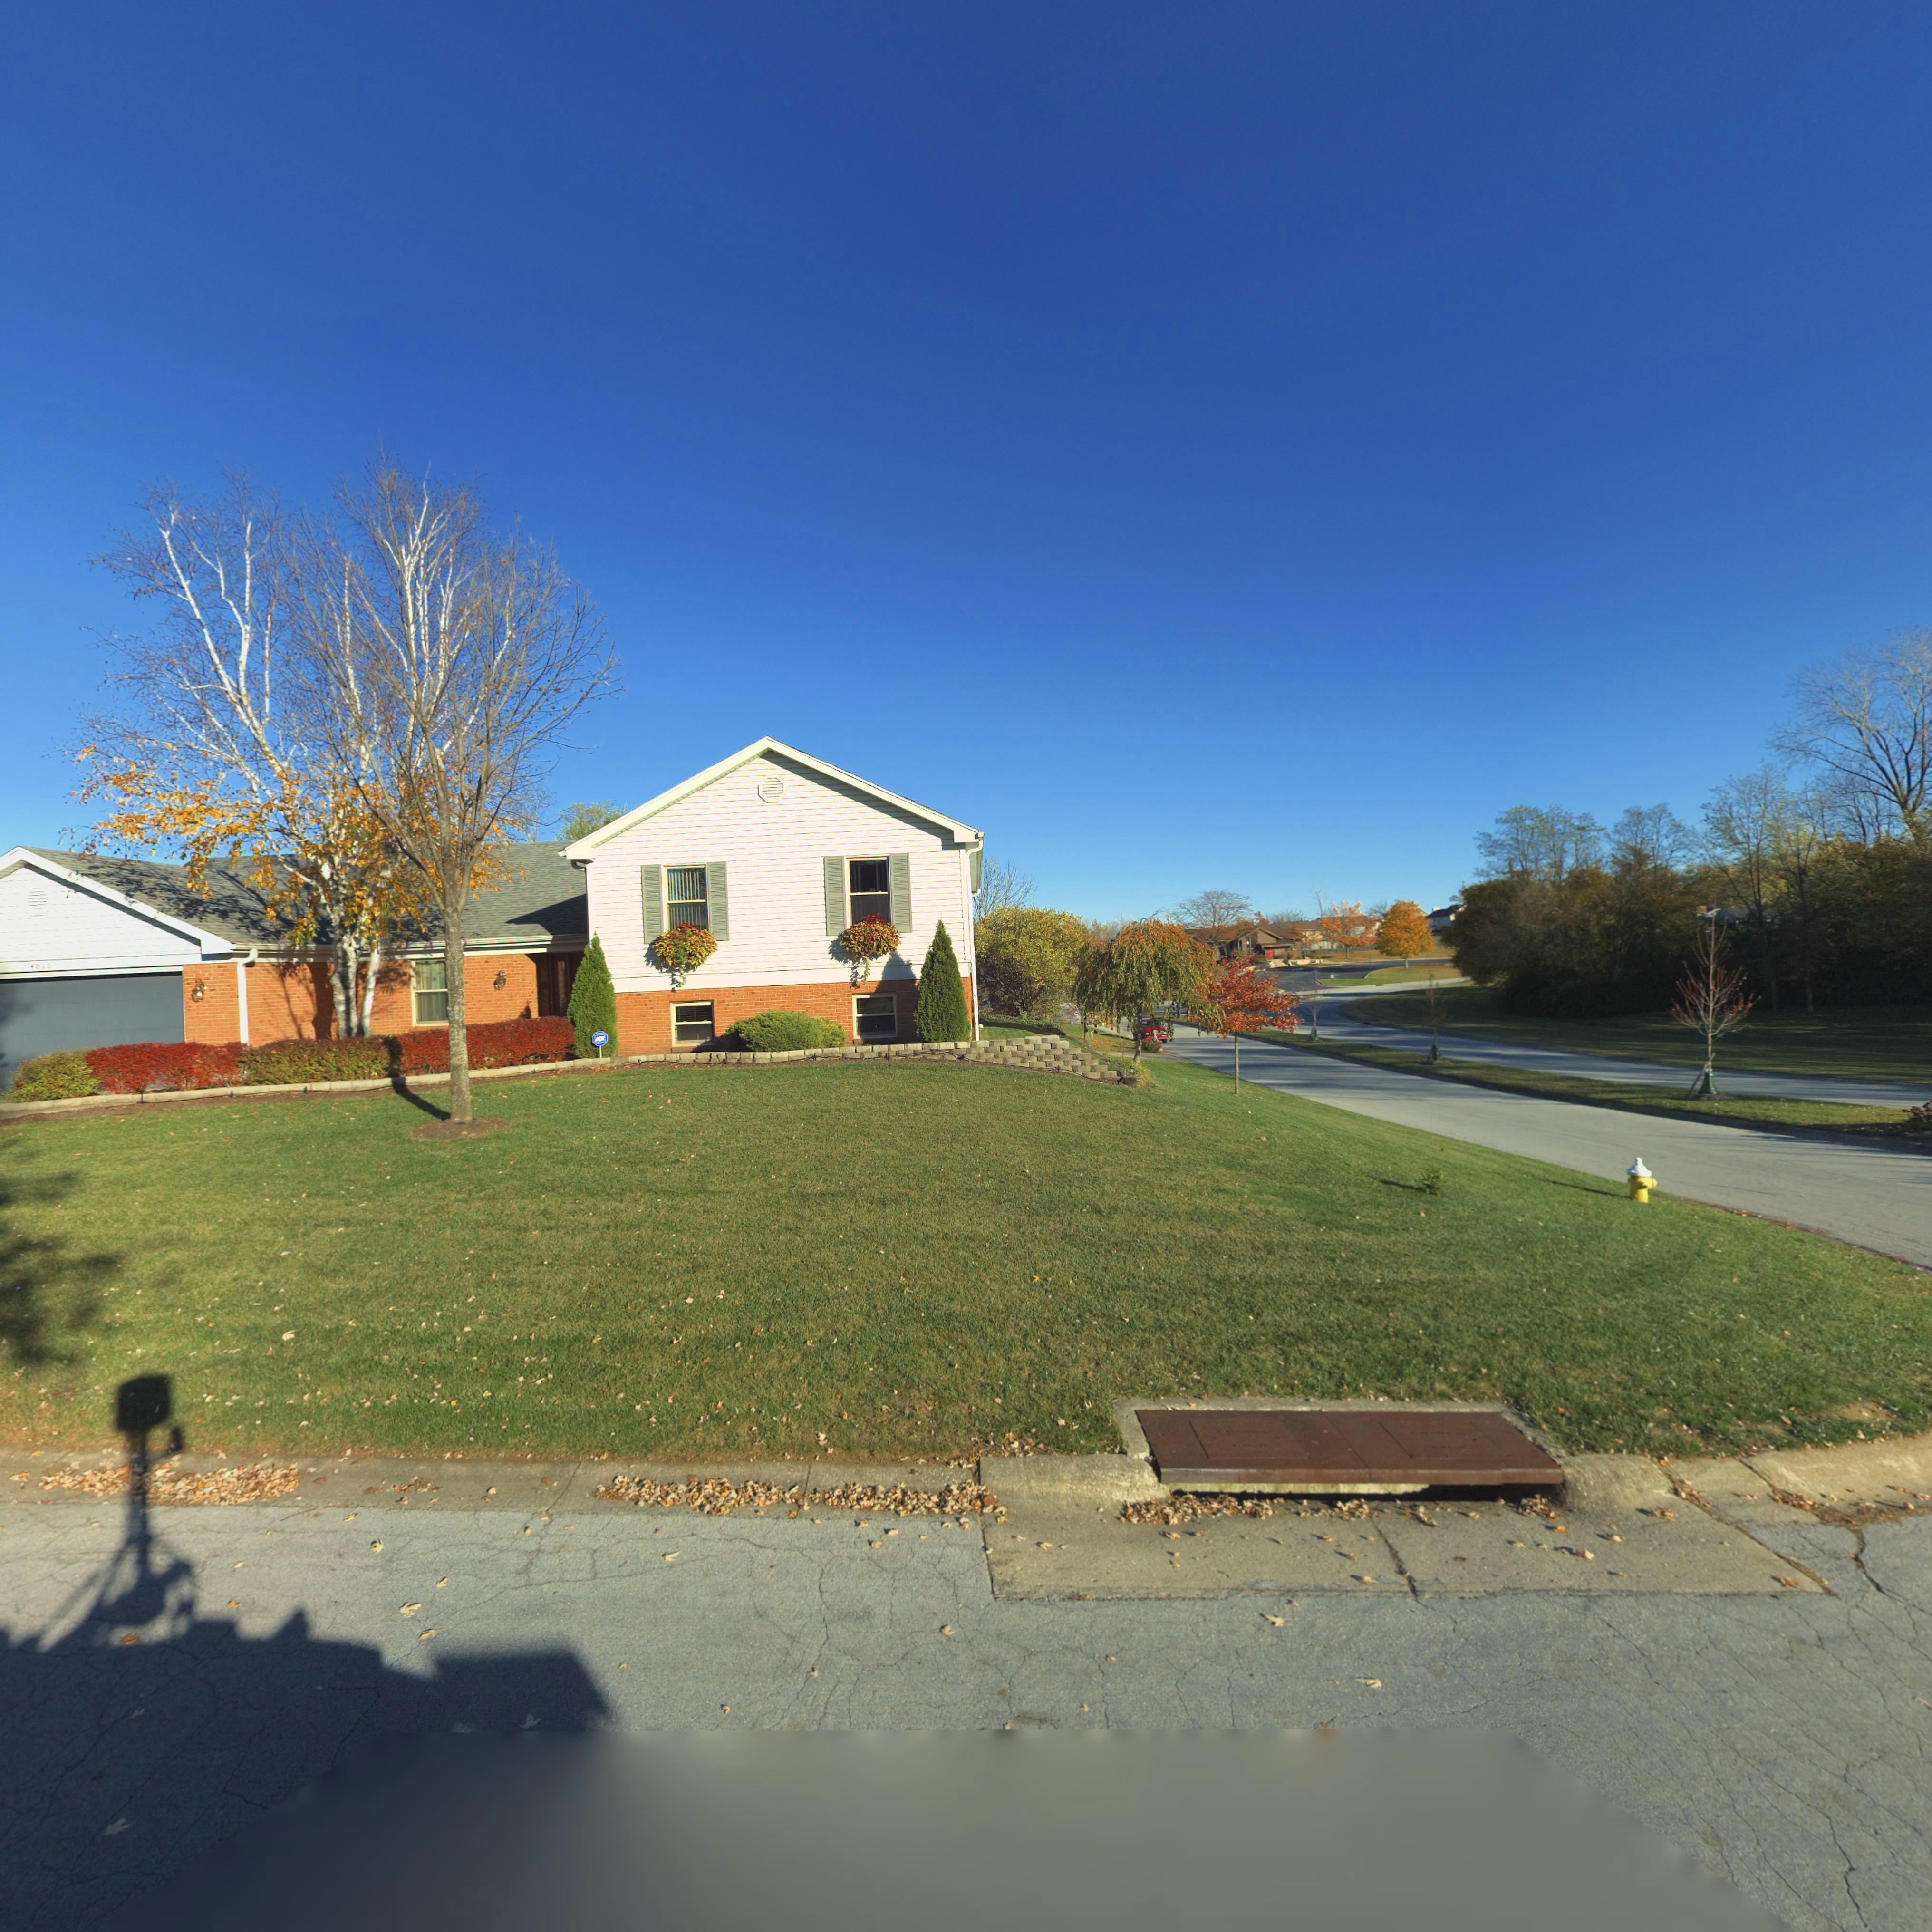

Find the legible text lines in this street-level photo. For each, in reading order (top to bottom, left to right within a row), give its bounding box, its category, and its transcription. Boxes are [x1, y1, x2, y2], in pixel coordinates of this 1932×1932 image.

[29, 962, 53, 971] StreetNumber: ***0